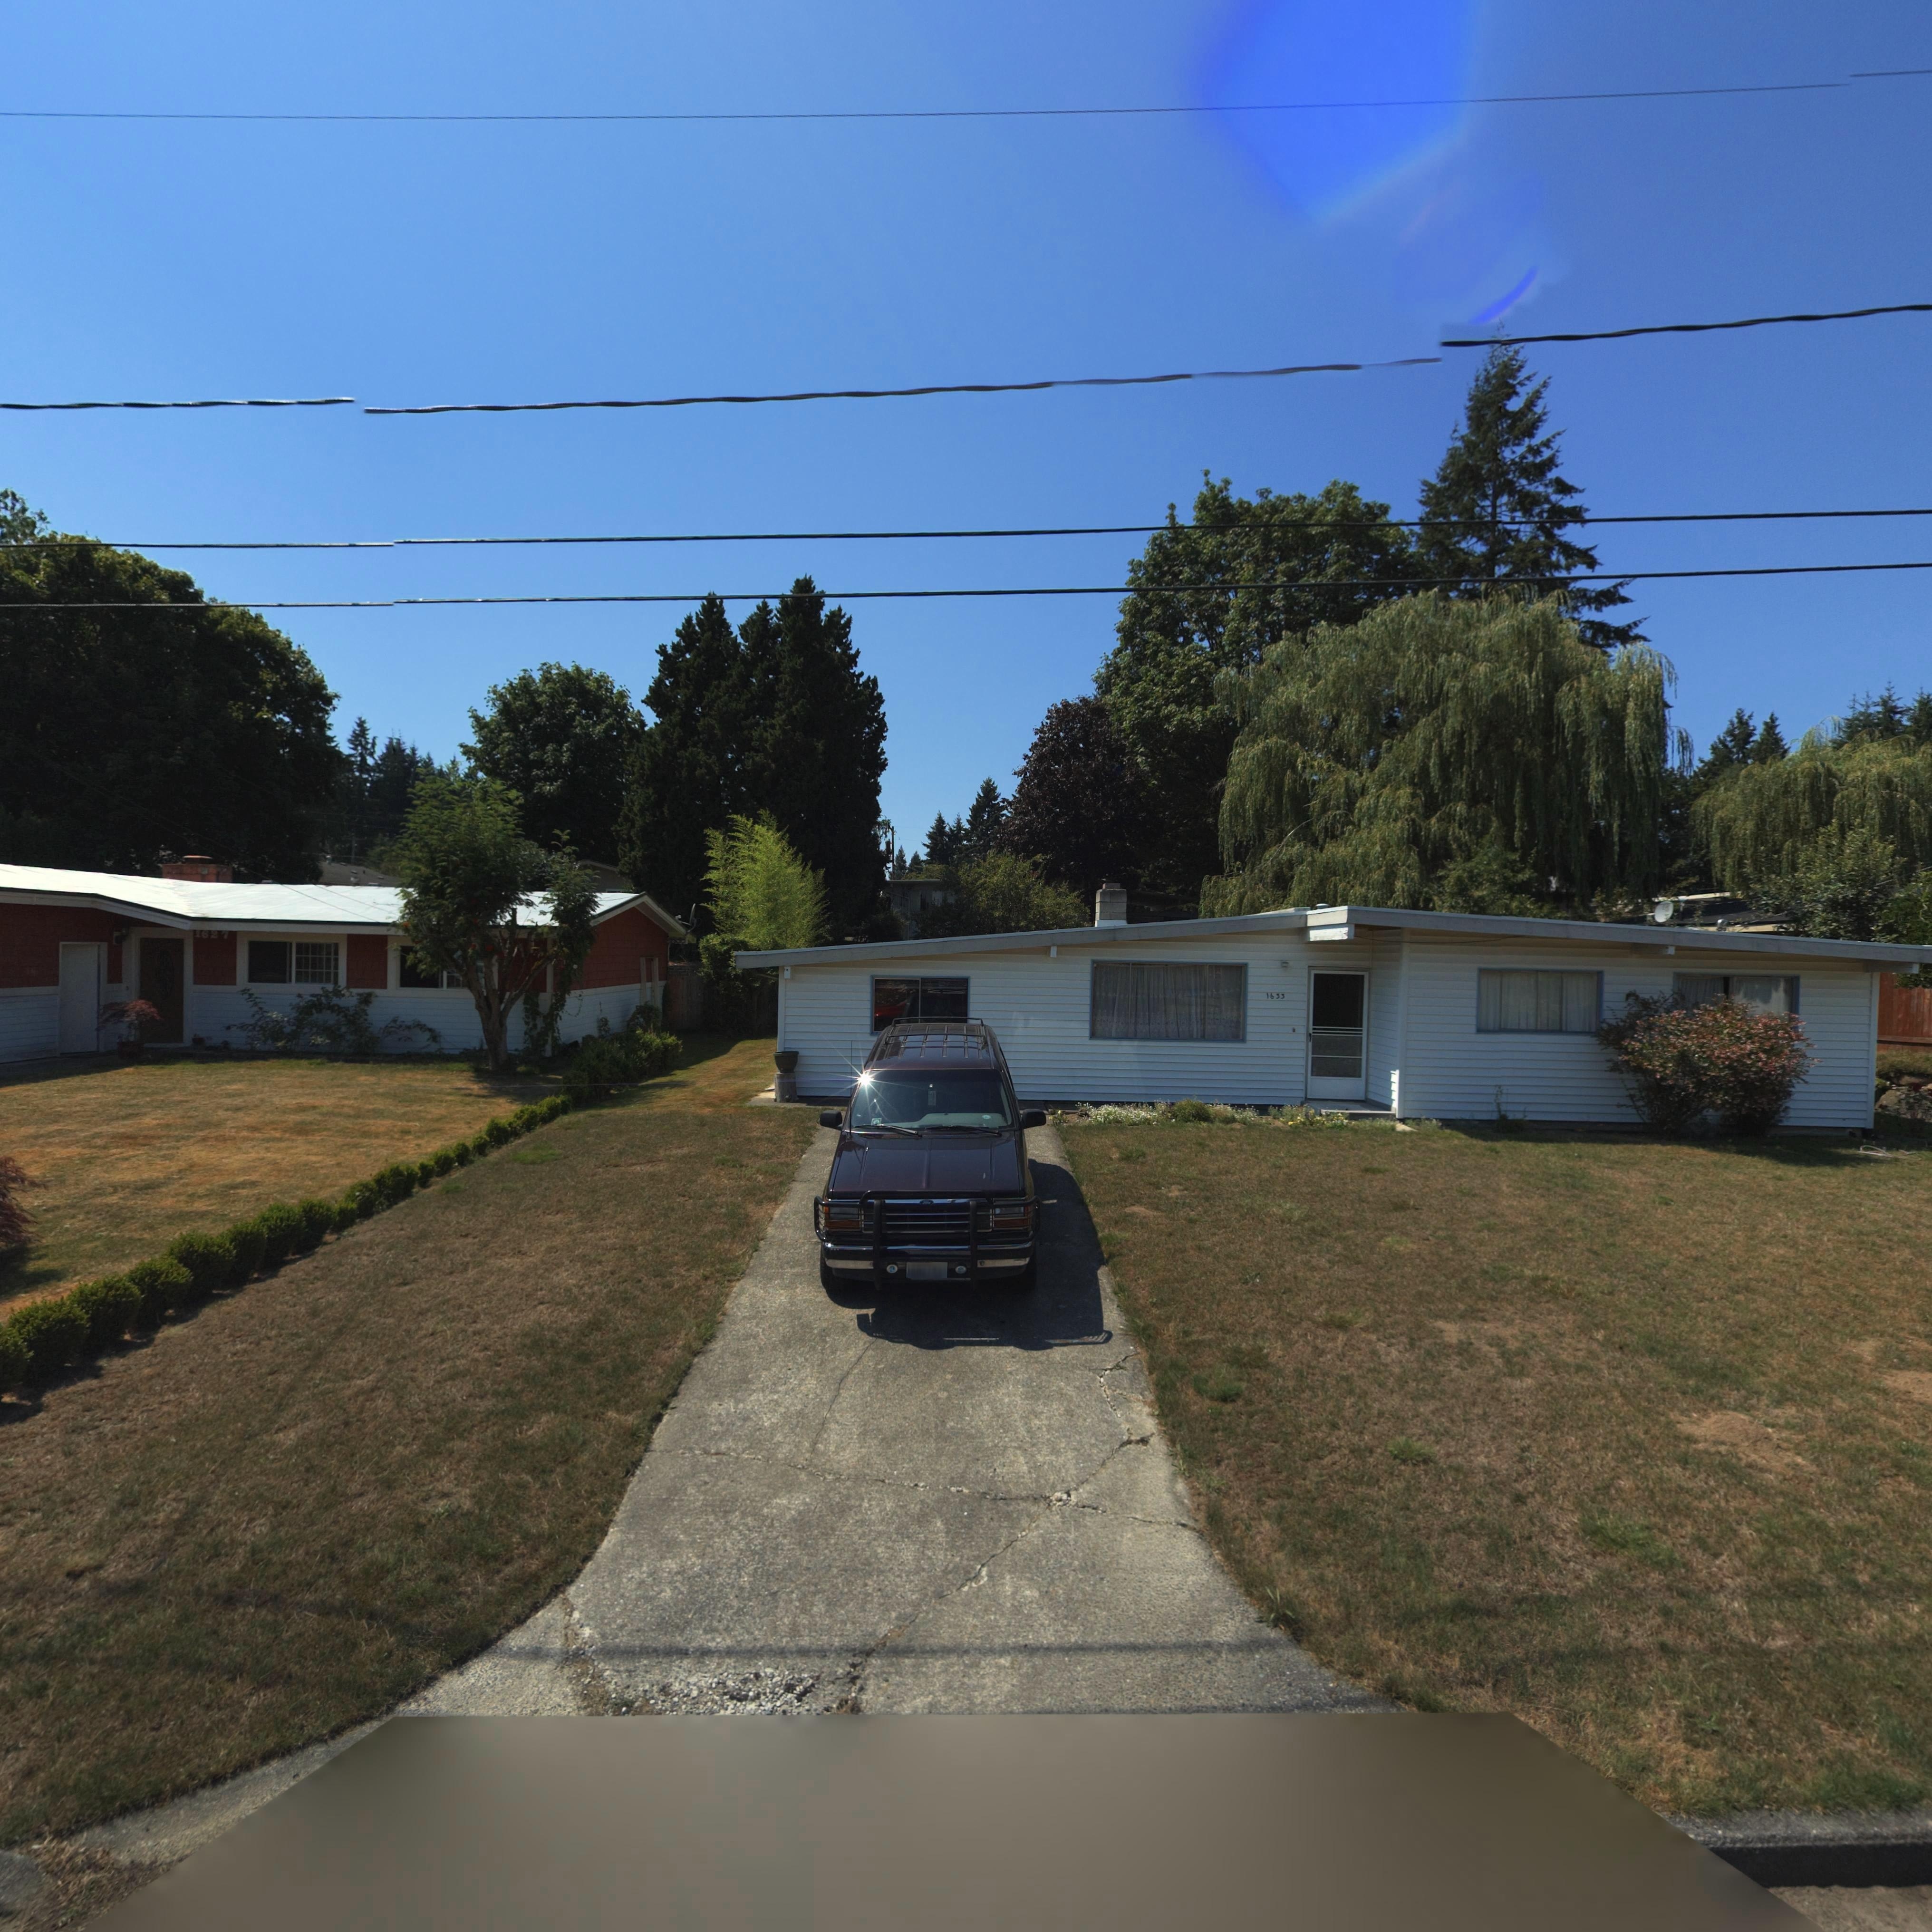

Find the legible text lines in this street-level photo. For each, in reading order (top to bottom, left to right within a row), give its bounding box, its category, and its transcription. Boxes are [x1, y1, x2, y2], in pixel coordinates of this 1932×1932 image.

[1266, 992, 1285, 999] StreetNumber: 1633